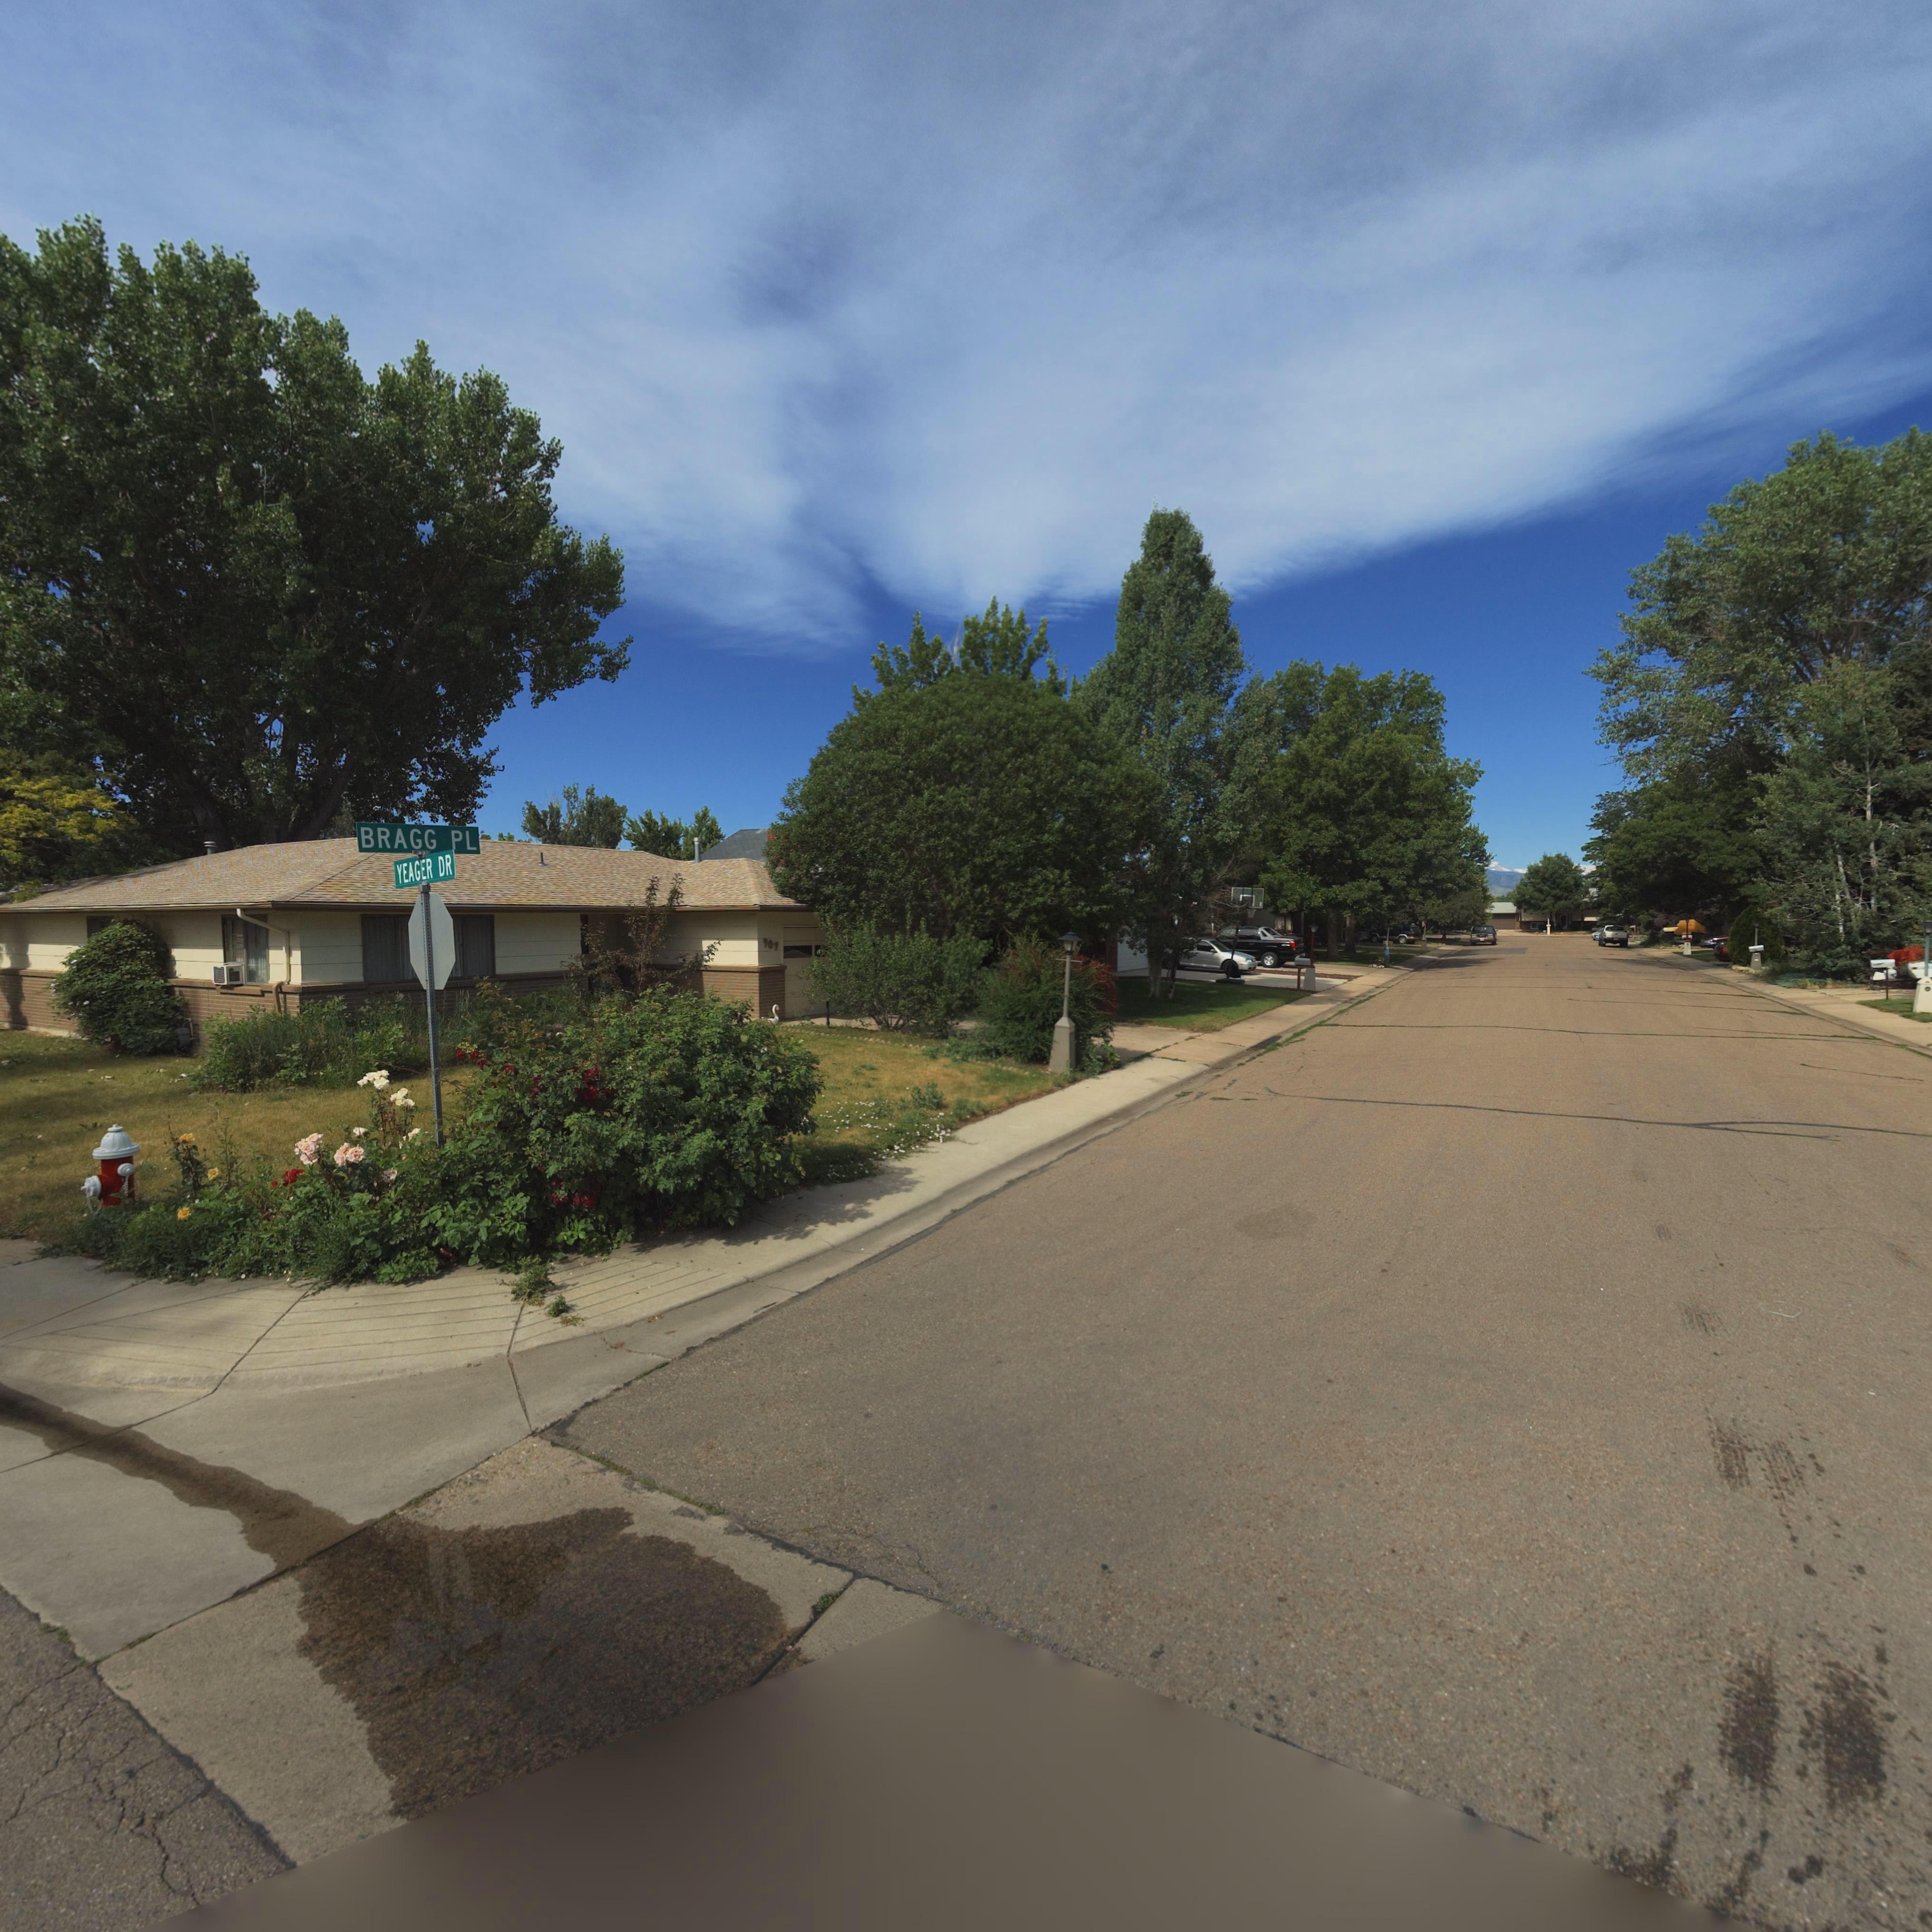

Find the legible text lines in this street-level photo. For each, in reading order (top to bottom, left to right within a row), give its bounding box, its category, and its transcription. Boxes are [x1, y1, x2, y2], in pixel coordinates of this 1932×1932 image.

[360, 826, 477, 851] StreetName: BRAGG PL
[395, 853, 453, 884] StreetName: YEAGER DR
[763, 937, 779, 952] StreetNumber: 907